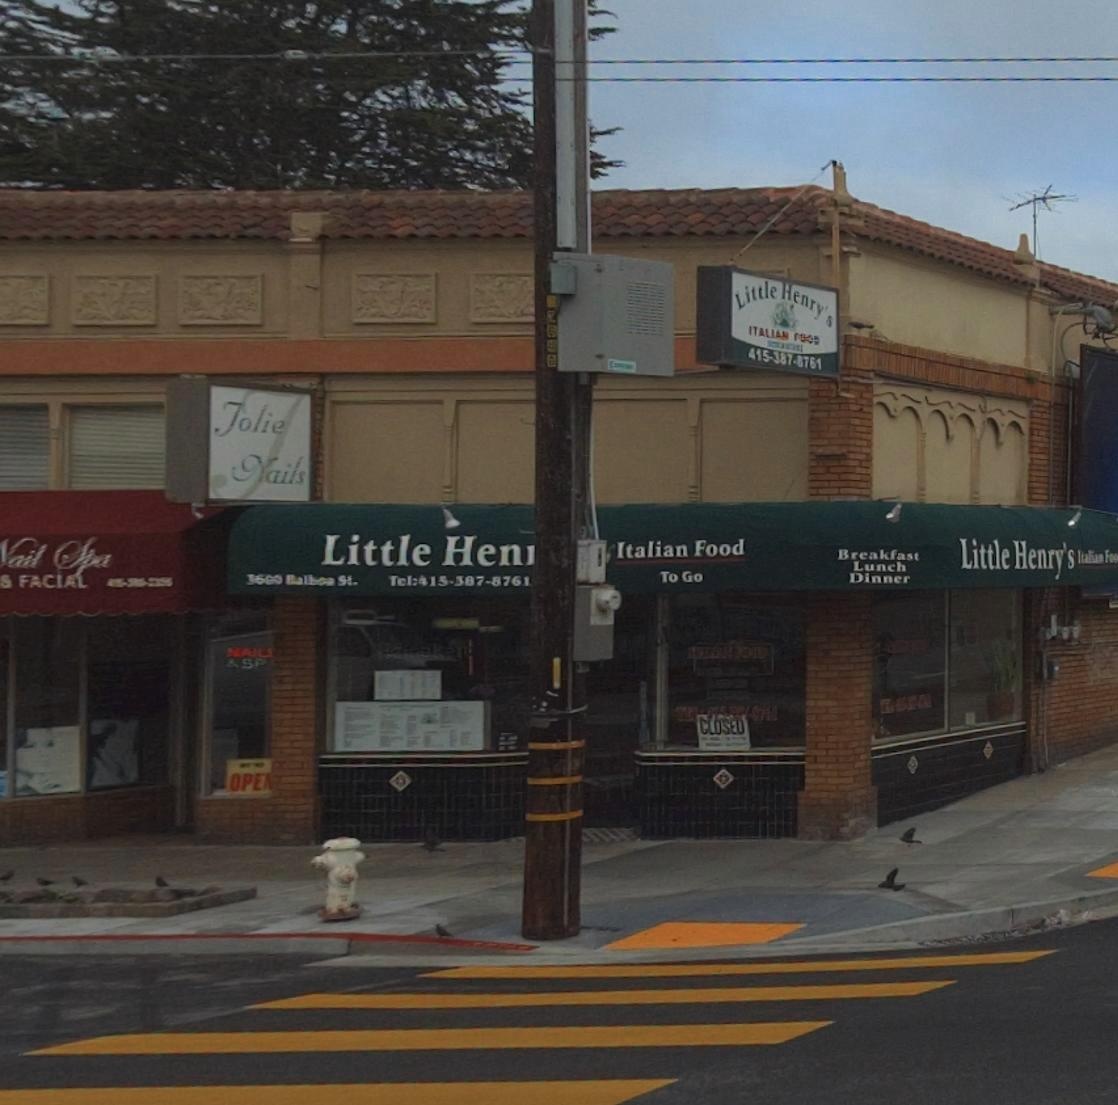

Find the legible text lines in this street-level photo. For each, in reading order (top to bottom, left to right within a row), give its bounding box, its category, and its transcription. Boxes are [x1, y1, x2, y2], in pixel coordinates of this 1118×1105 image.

[732, 277, 840, 336] BusinessName: Little Henry's
[744, 324, 823, 350] None: ITALIAN FOOD
[742, 345, 823, 372] None: 415-387-8761
[209, 397, 291, 443] BusinessName: Jolie
[224, 450, 311, 493] BusinessName: Nails
[6, 531, 116, 581] None: ail Spa
[319, 531, 524, 569] BusinessName: Little Hen
[614, 535, 747, 561] None: Italian Food
[833, 548, 921, 564] None: Breakfast
[850, 559, 910, 573] None: Lunch
[957, 535, 1079, 585] BusinessName: Little Henry's
[1075, 547, 1118, 566] None: Italian Foo
[14, 571, 91, 590] None: FACIAL
[242, 571, 284, 587] StreetNumber: 3600
[283, 571, 361, 588] StreetName: Balboa St.
[385, 572, 533, 589] None: Tel:415-387-8761
[656, 569, 707, 585] None: To Go
[845, 570, 913, 587] None: Dinner
[223, 645, 271, 660] None: NAIL
[237, 656, 267, 673] None: SP
[697, 717, 749, 737] None: CLOSED
[223, 770, 267, 795] None: OPE